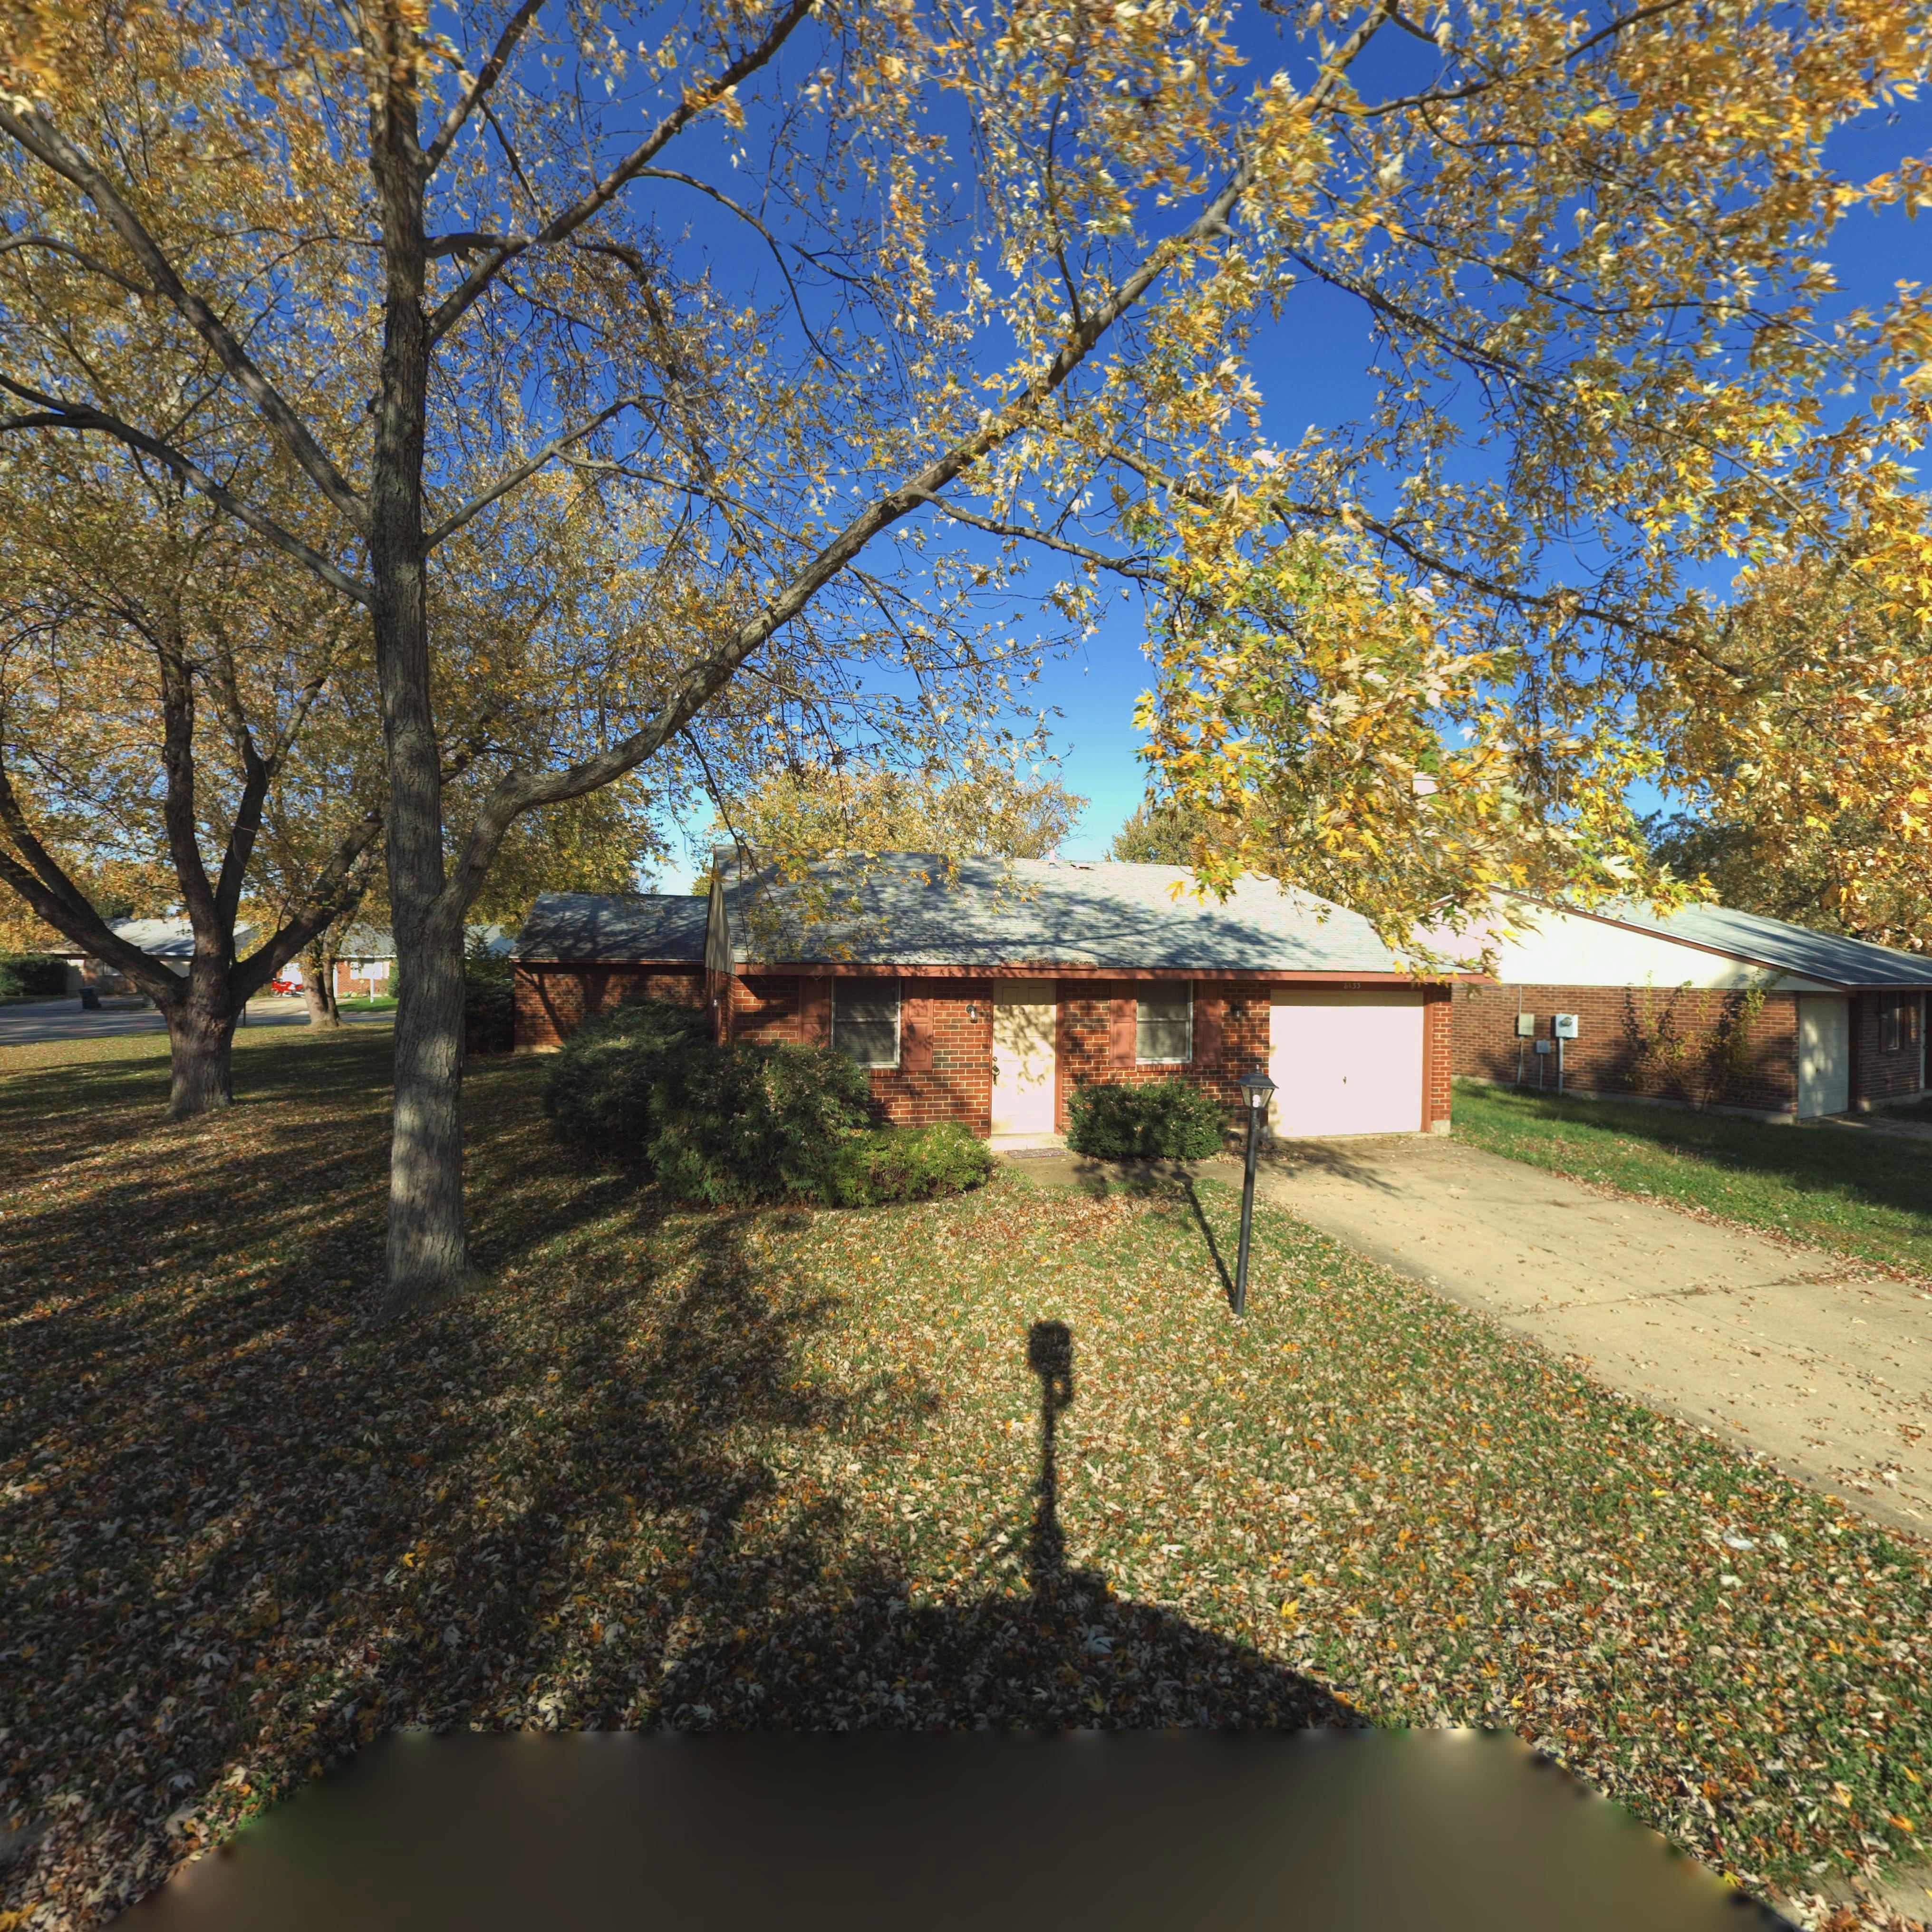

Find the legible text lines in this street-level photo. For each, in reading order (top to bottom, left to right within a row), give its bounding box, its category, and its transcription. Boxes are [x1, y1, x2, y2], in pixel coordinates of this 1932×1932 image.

[1343, 981, 1362, 991] StreetNumber: 8133